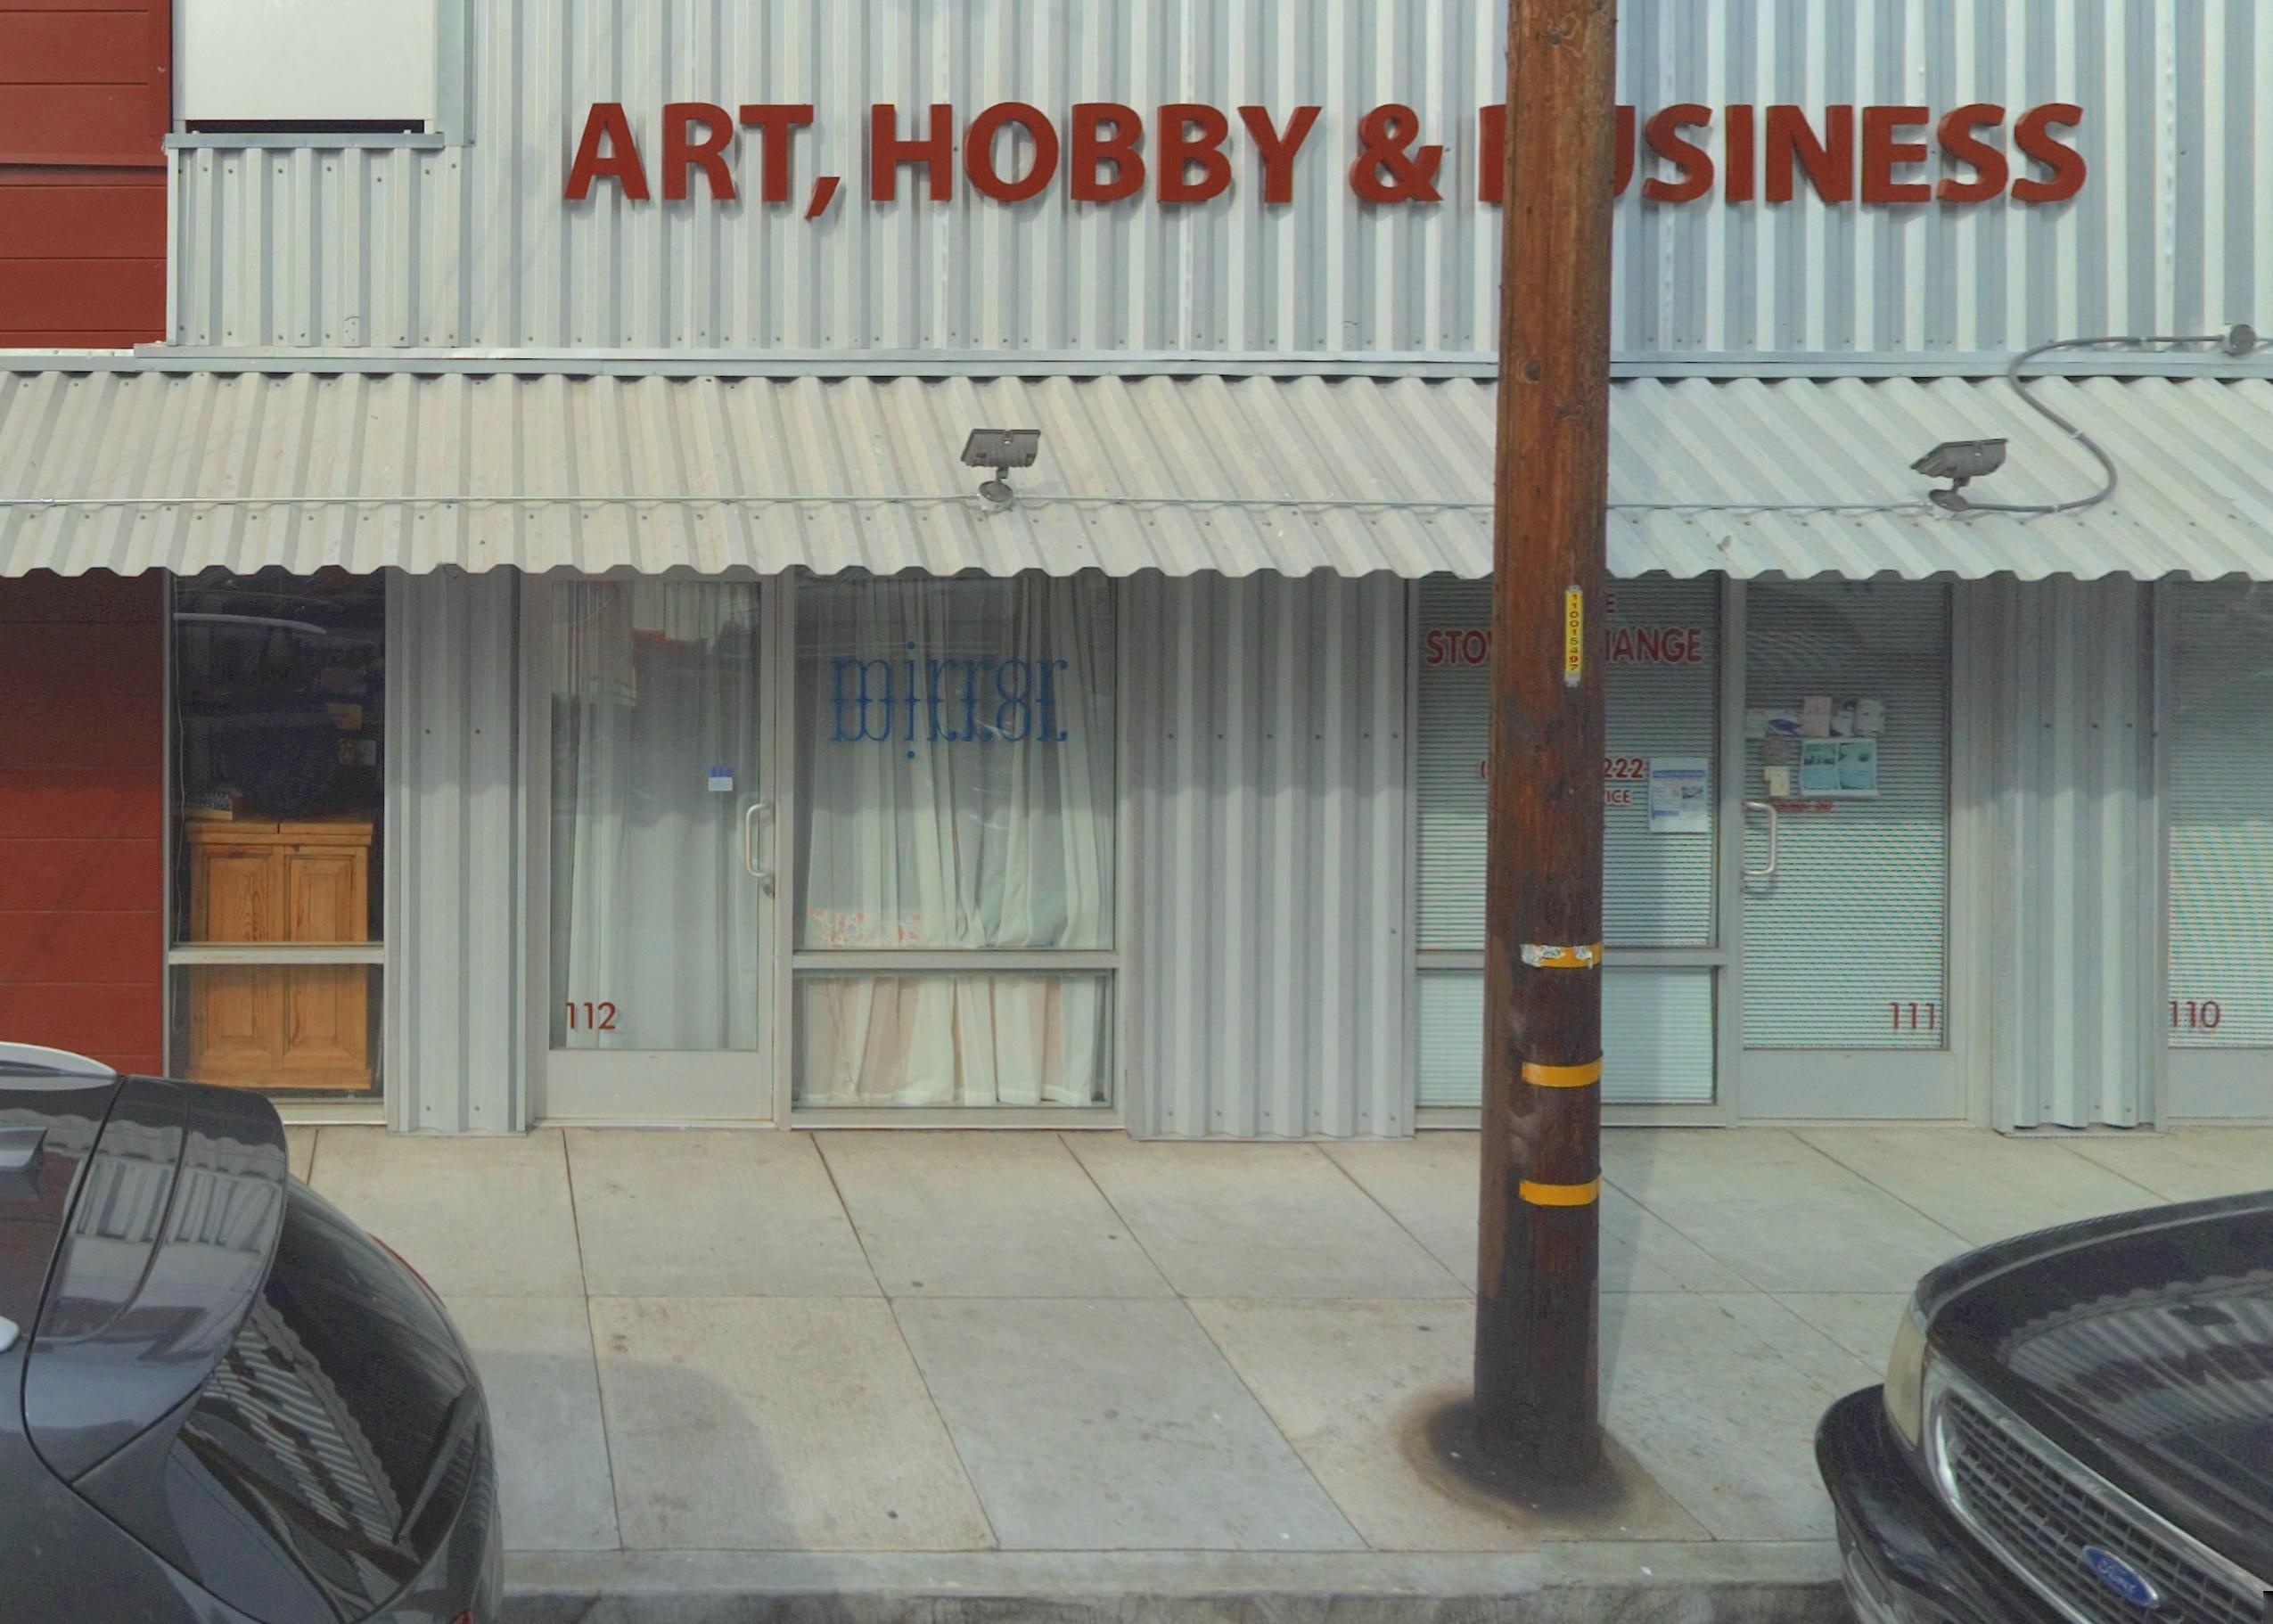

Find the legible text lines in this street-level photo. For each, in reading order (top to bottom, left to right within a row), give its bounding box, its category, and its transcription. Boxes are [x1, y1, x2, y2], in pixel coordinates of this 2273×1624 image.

[561, 98, 2093, 207] BusinessName: ART,HOBBY & **SINESS
[1423, 626, 1490, 667] None: STO
[1566, 591, 1581, 673] None: 110015497
[1610, 627, 1703, 664] None: ANGE
[828, 639, 1071, 701] None: mirror
[1613, 755, 1645, 780] None: 22
[1611, 788, 1631, 804] None: CE
[564, 1000, 618, 1031] StreetNumber: 112
[1890, 1000, 1938, 1031] StreetNumber: 111
[2166, 999, 2220, 1029] StreetNumber: 110